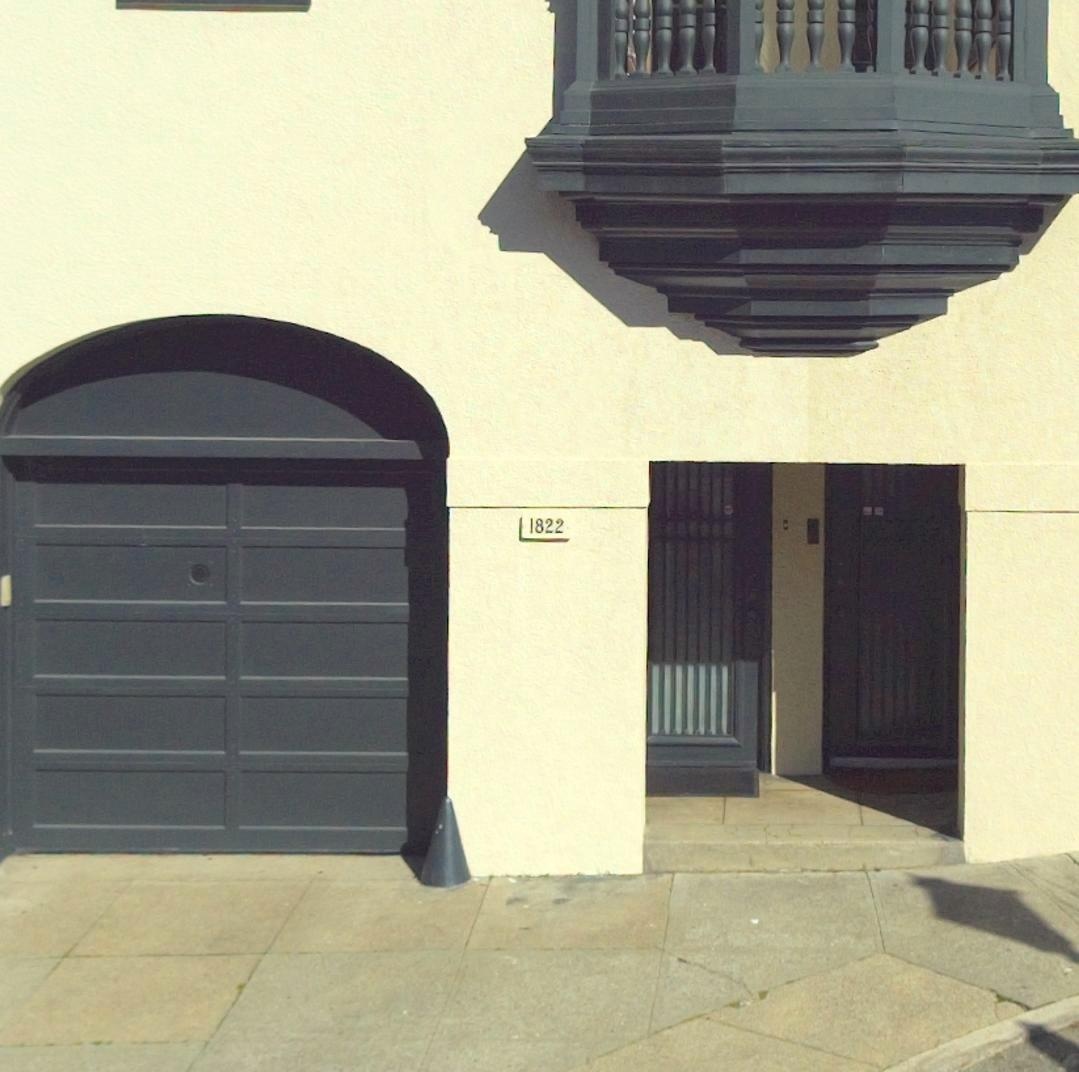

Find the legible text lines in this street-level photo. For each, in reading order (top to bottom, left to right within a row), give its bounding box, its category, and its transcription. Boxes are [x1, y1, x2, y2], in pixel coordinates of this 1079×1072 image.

[528, 516, 565, 535] StreetNumber: 1822